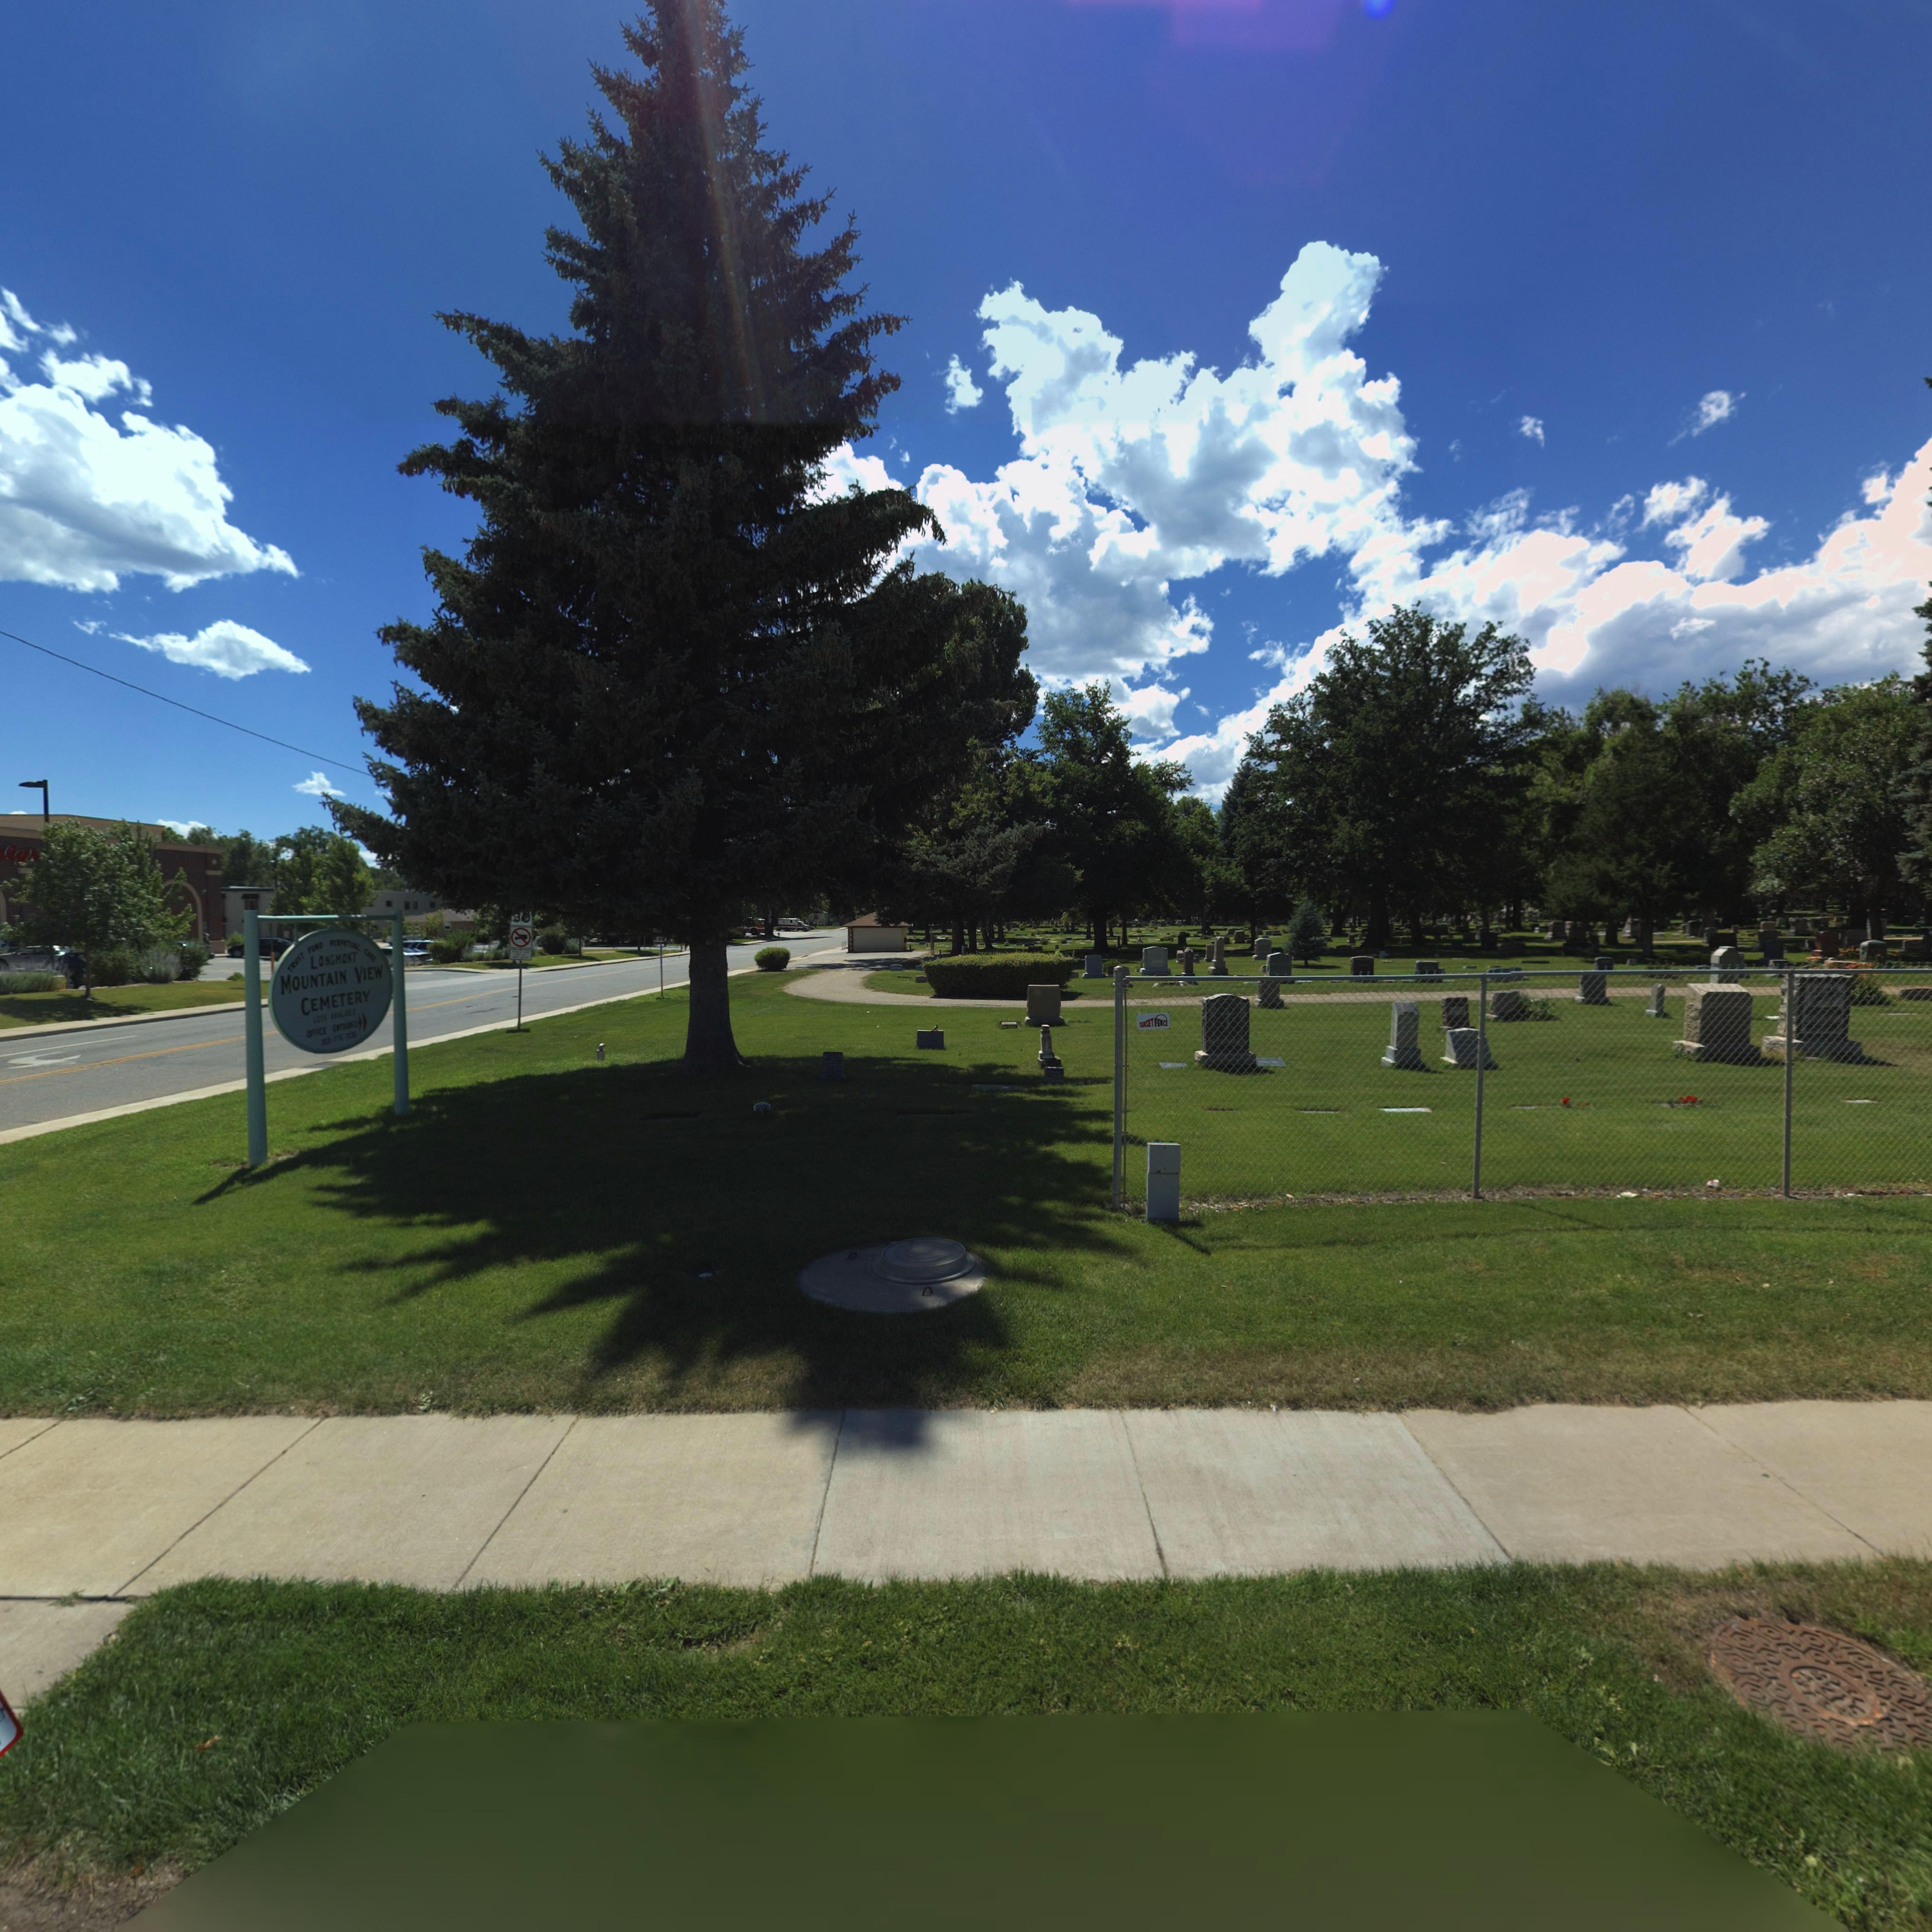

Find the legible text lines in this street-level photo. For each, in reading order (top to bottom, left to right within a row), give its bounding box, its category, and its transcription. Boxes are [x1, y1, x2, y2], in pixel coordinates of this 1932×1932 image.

[310, 951, 359, 969] BusinessName: LONGMONT
[280, 965, 383, 995] BusinessName: MOUNTAIN VIEW
[300, 989, 371, 1016] BusinessName: CEMETERY